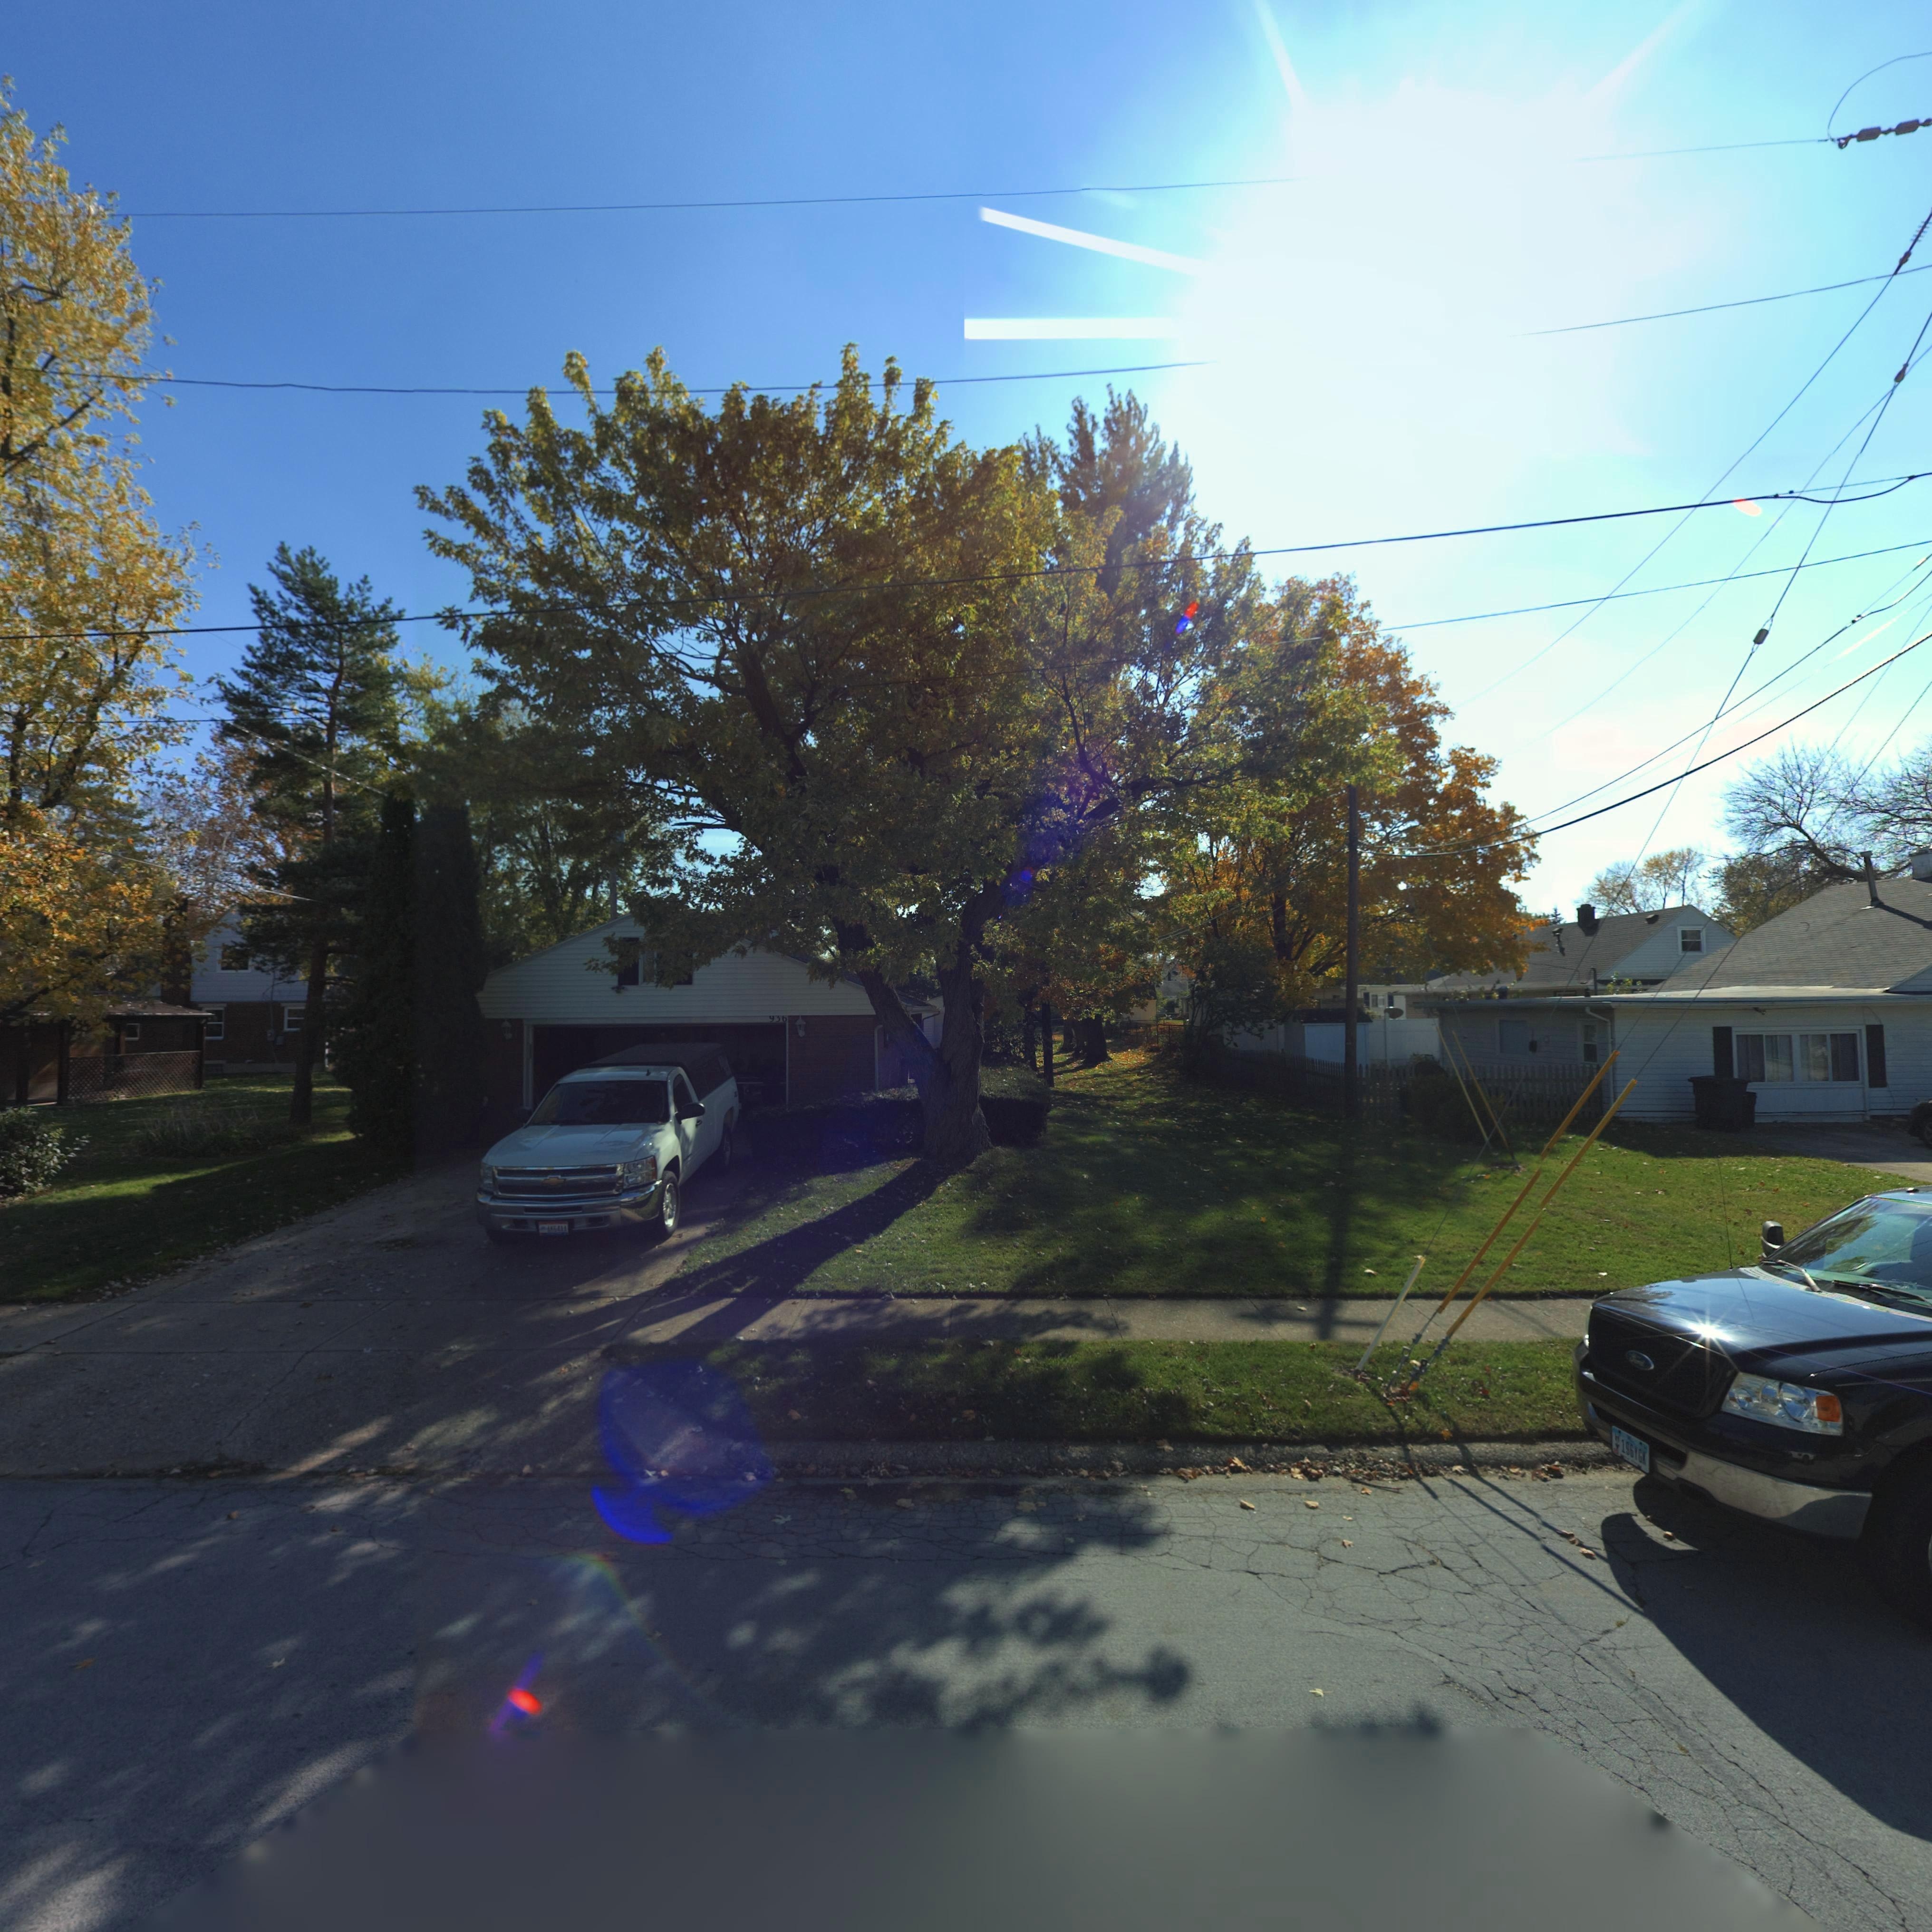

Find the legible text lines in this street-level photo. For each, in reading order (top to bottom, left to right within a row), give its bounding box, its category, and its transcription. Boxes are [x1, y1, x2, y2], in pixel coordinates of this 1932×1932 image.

[769, 1015, 788, 1023] StreetNumber: **6
[547, 1225, 567, 1233] None: AK64**
[1622, 1439, 1648, 1467] None: 196YGK